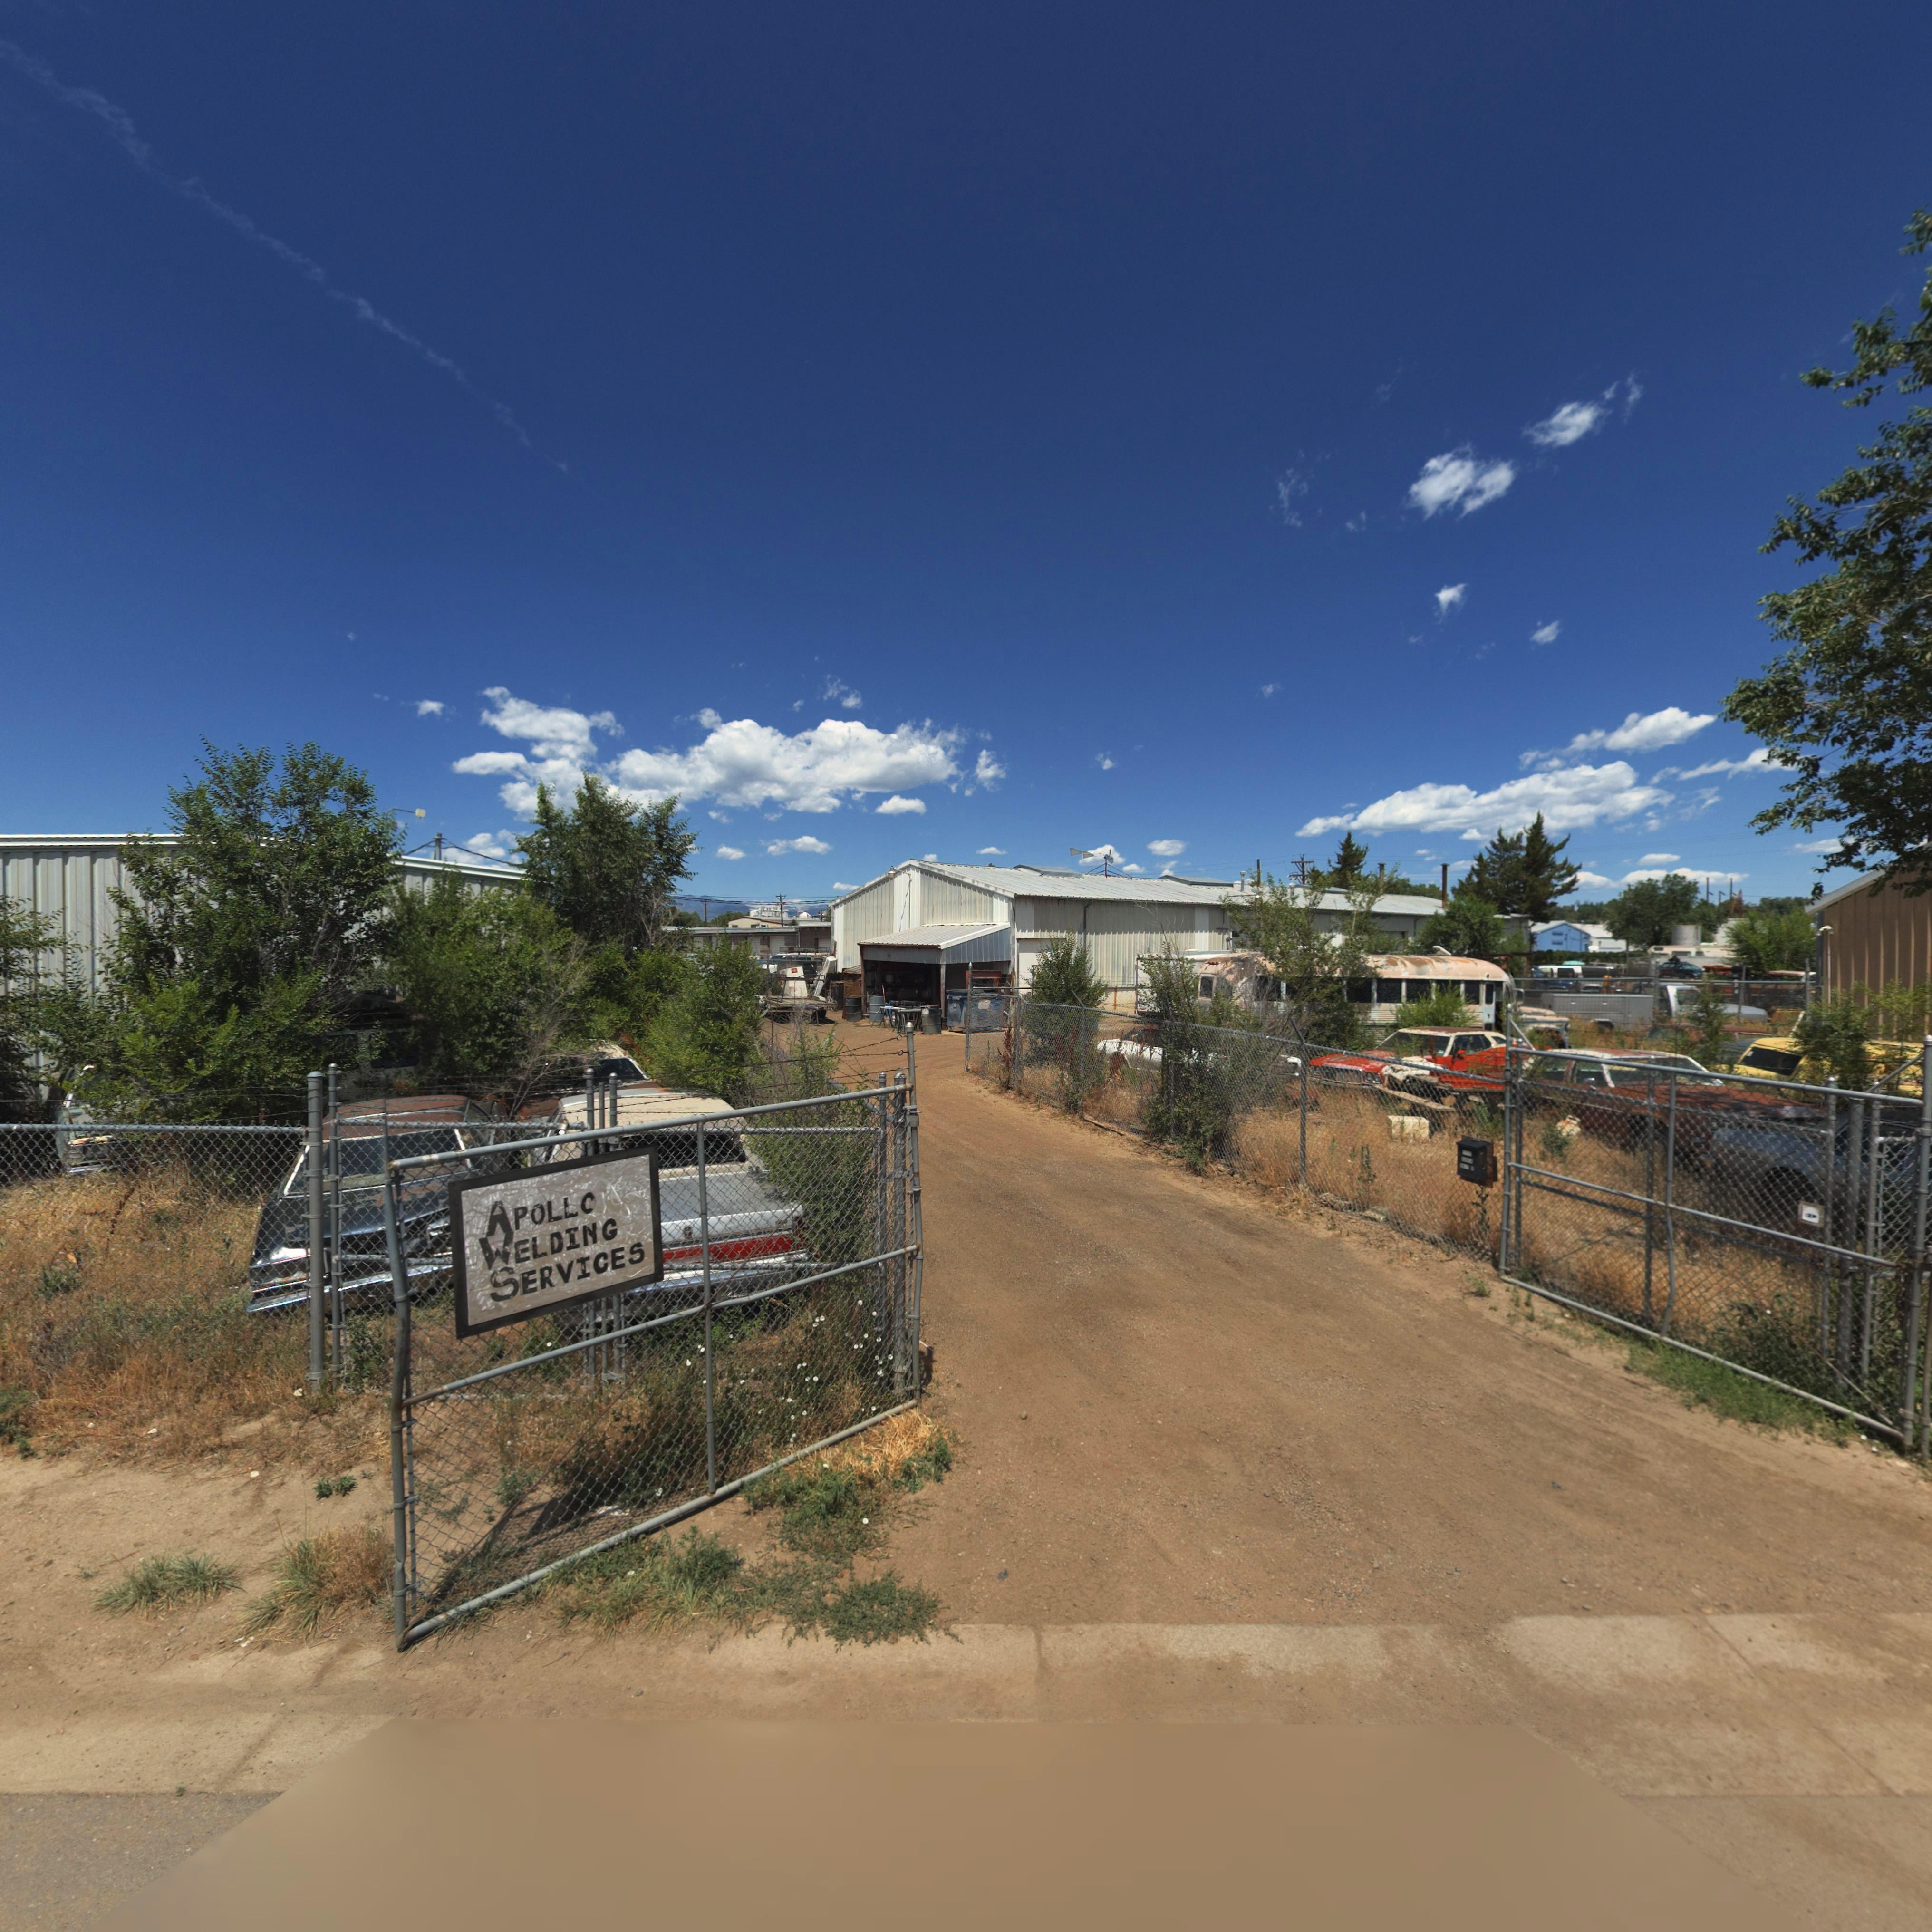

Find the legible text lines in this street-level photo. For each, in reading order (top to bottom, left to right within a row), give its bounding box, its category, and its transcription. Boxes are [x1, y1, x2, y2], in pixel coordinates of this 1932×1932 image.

[483, 1189, 597, 1238] BusinessName: APOLLC
[476, 1214, 621, 1274] BusinessName: WELDING
[487, 1239, 649, 1307] BusinessName: SERVICES